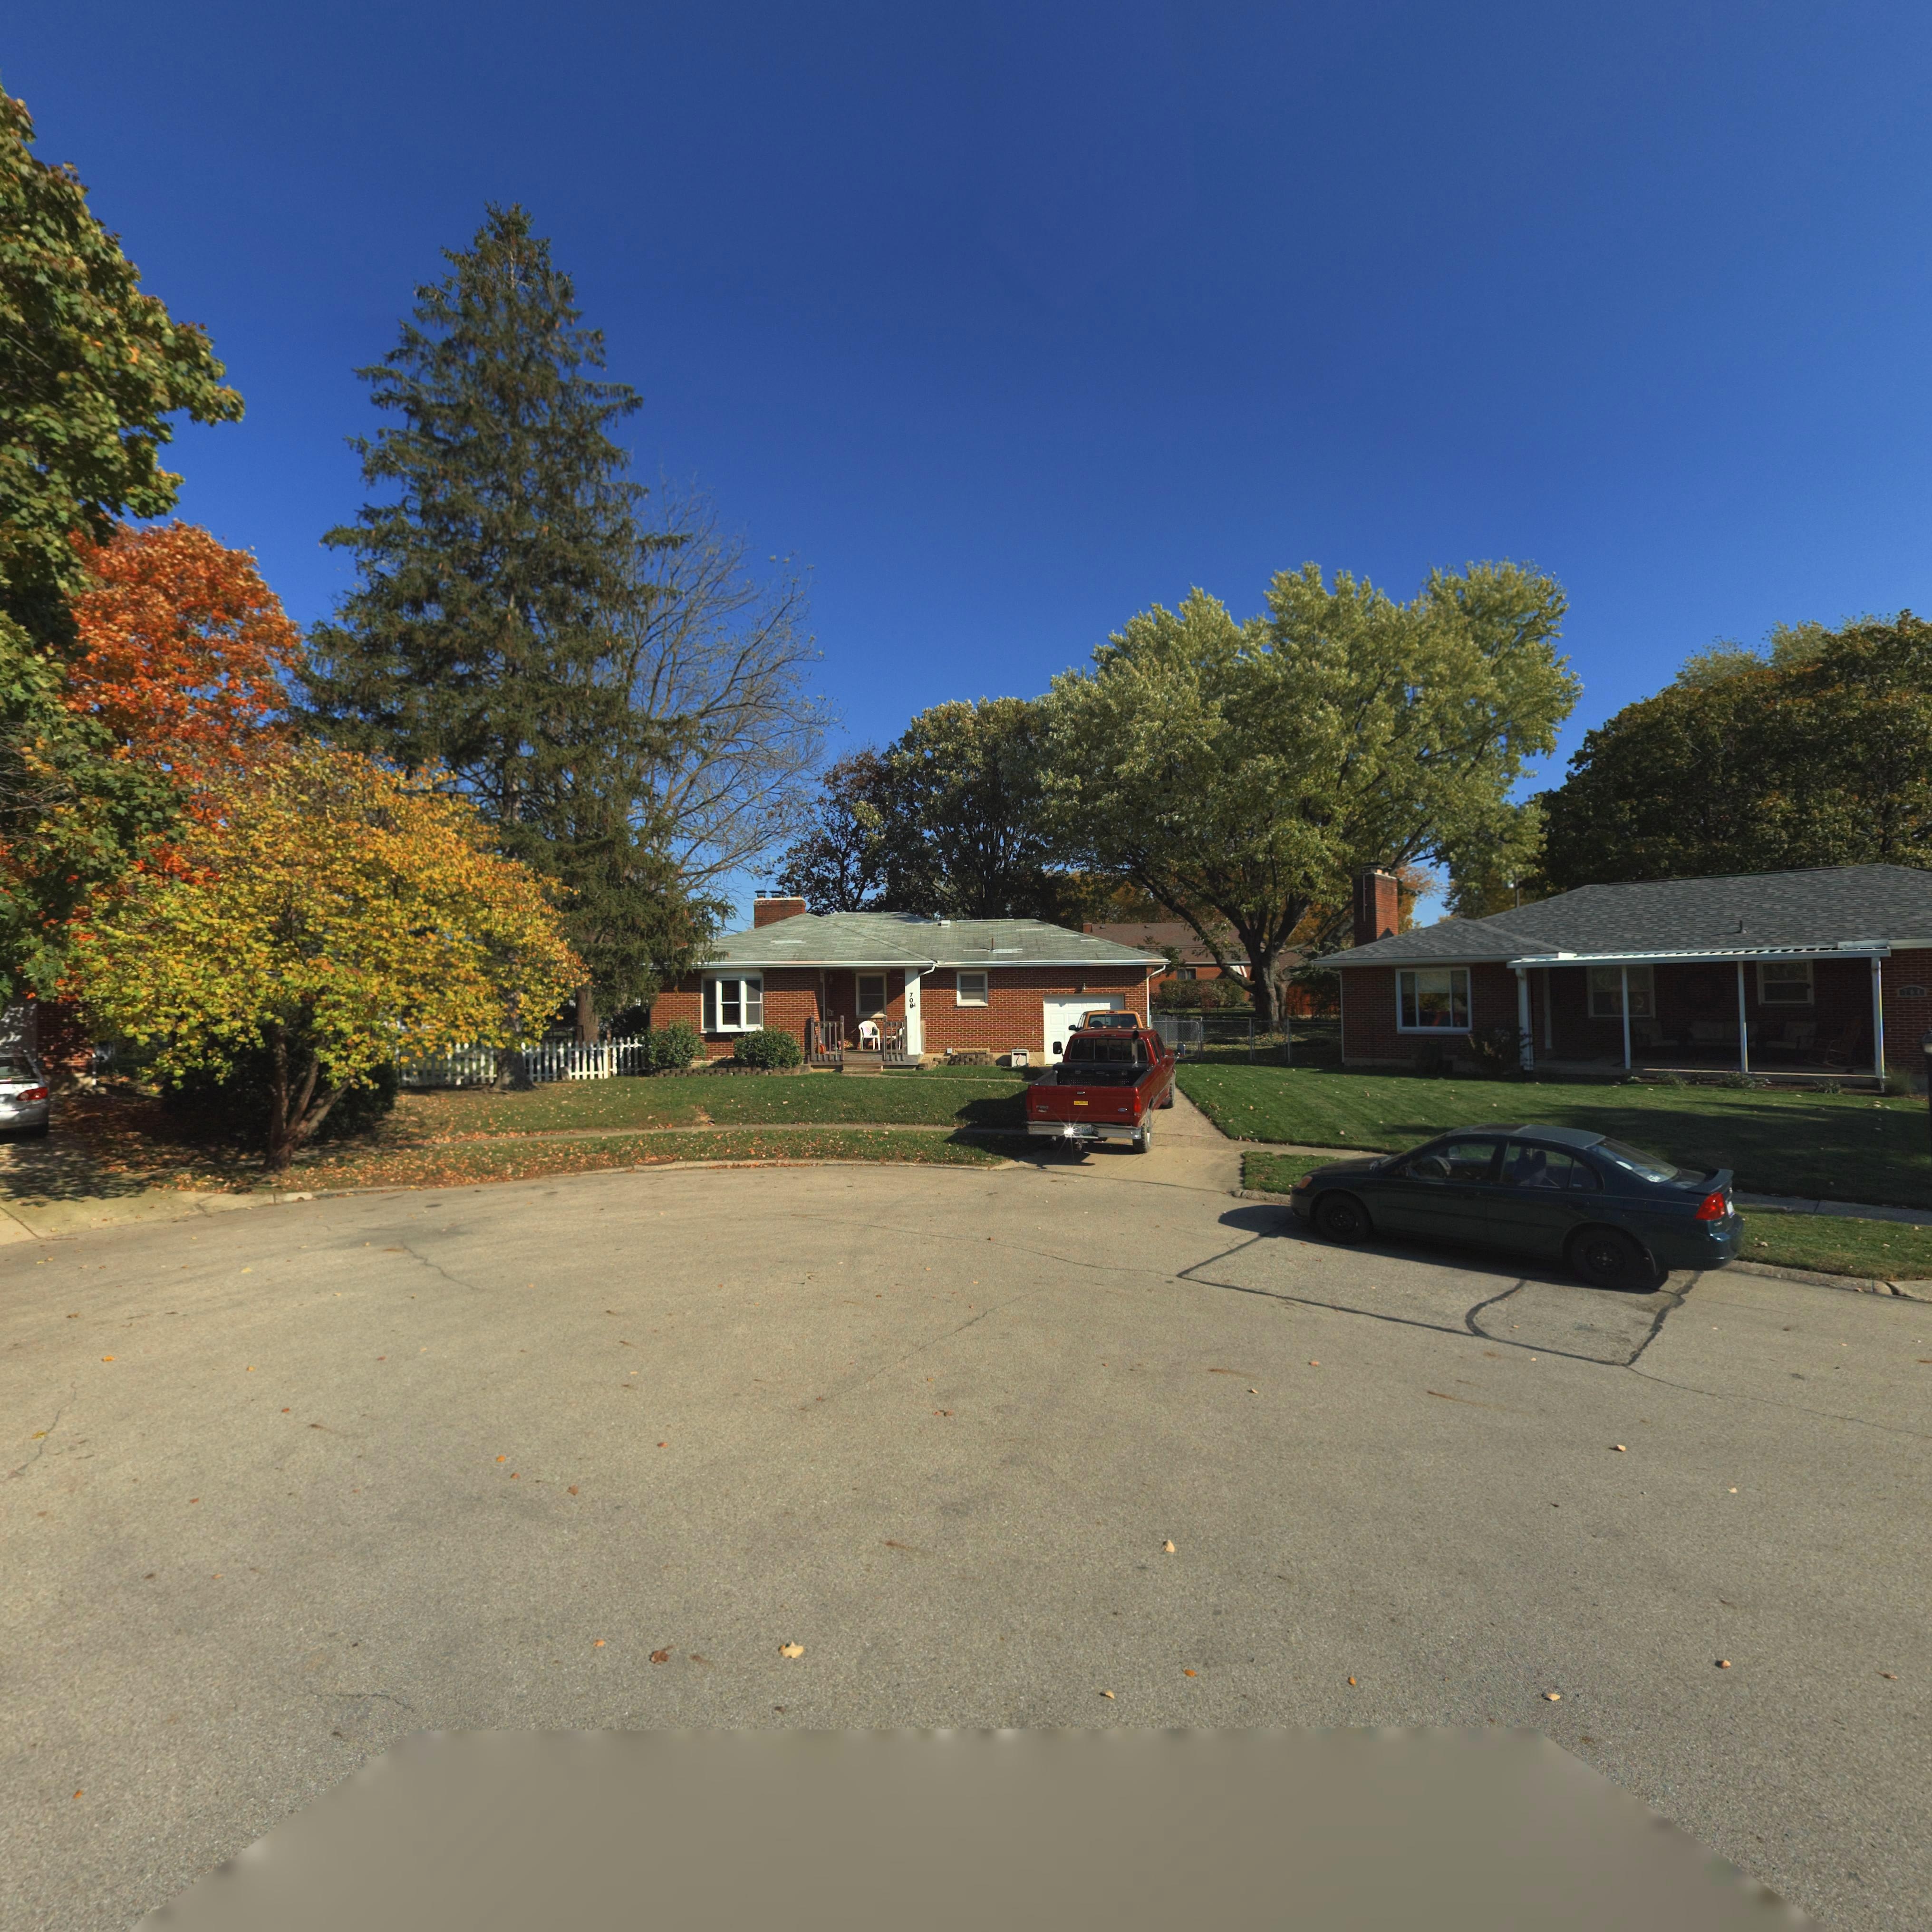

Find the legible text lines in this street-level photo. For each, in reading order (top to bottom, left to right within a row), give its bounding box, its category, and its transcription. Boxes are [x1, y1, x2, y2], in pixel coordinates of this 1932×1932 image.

[909, 992, 914, 1008] StreetNumber: 708
[1081, 1127, 1091, 1132] None: 76*7